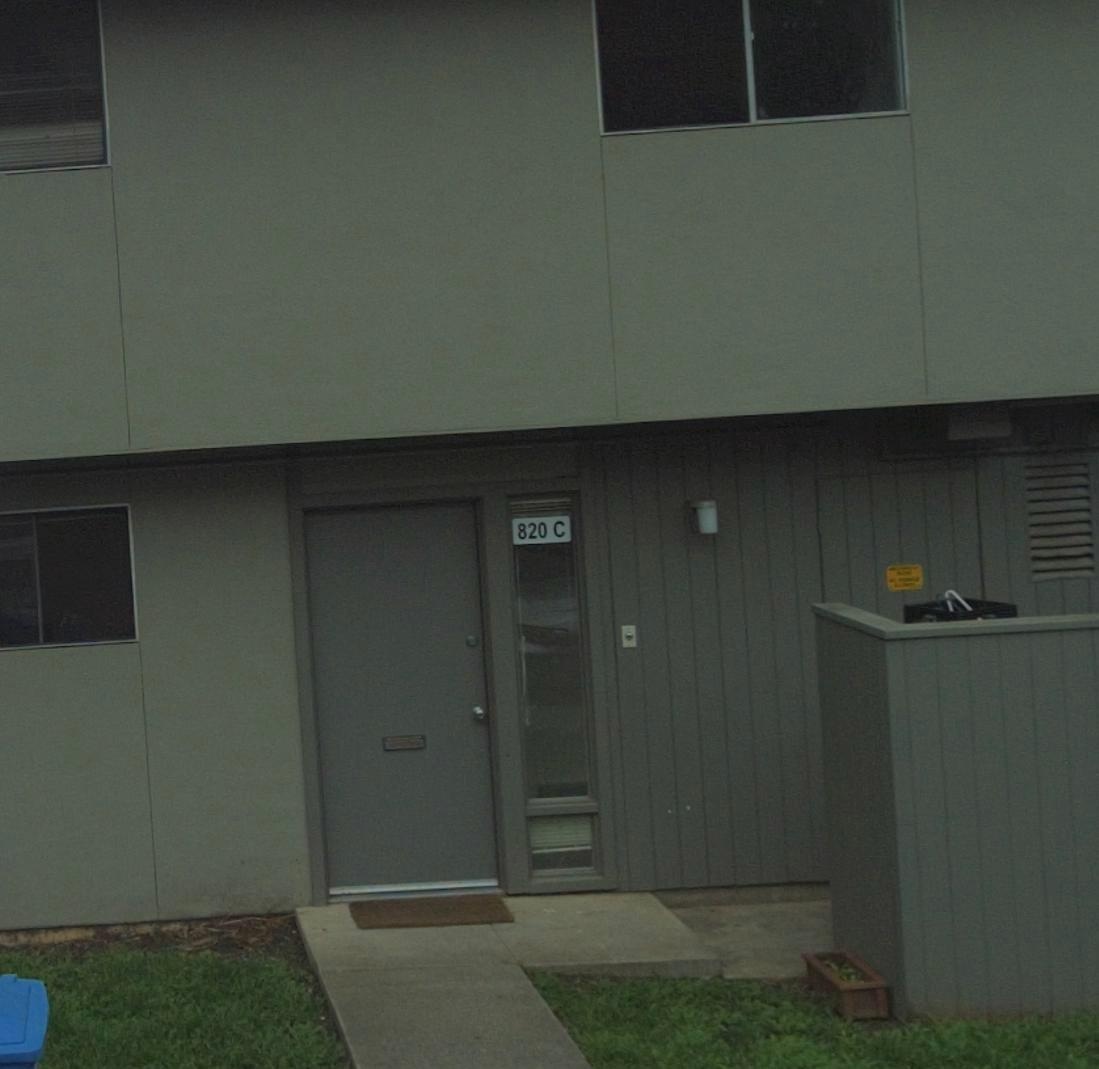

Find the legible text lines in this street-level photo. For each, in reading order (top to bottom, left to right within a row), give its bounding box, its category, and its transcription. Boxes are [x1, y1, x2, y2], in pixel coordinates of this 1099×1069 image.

[517, 519, 566, 541] StreetNumber: 820 C